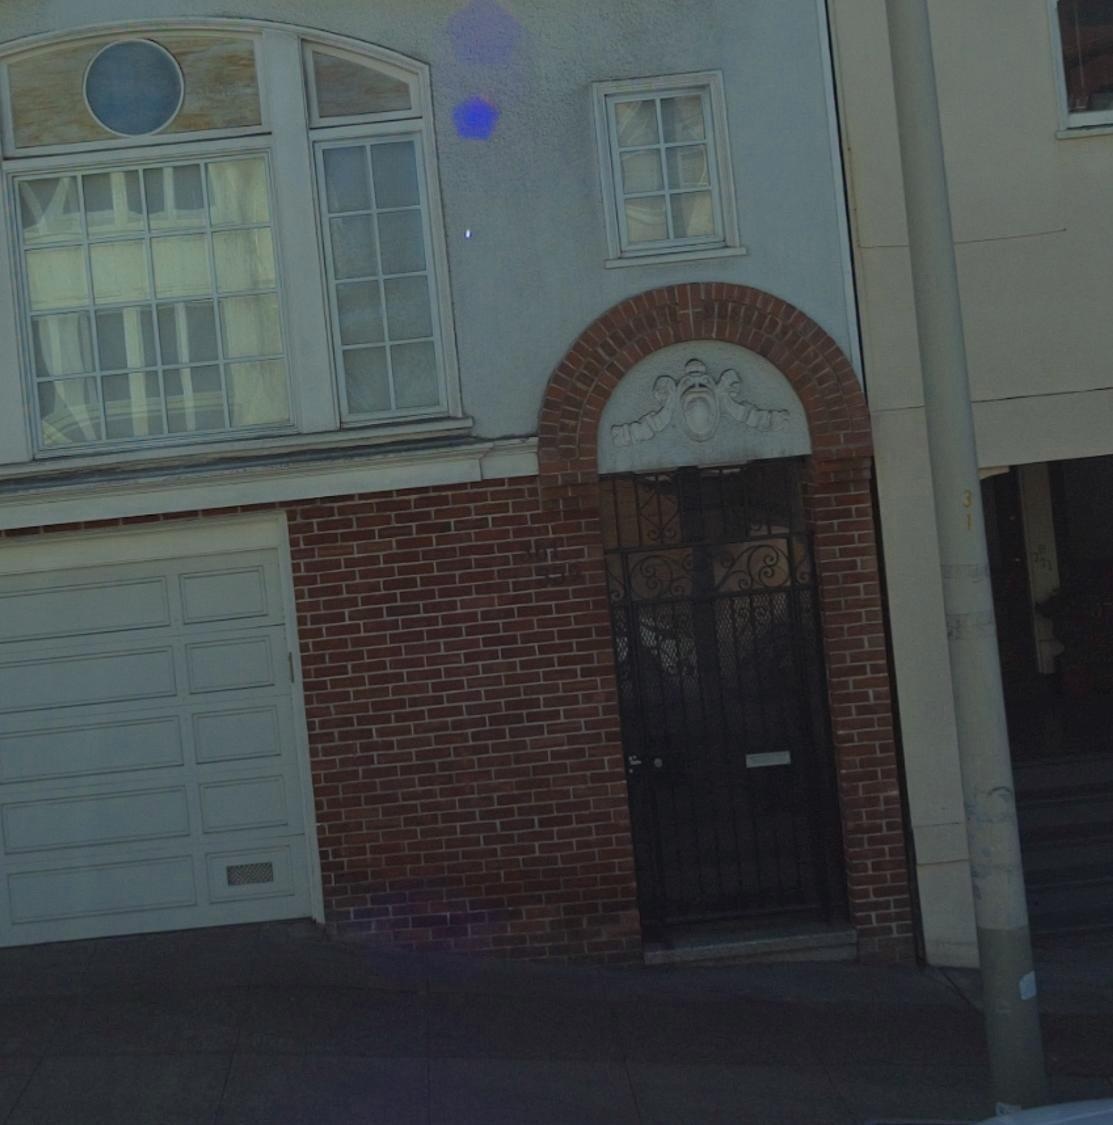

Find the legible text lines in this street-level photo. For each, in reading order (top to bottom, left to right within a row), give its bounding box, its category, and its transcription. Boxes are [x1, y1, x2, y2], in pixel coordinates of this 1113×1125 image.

[961, 488, 974, 531] None: 31
[517, 538, 561, 563] StreetNumber: 361
[1032, 550, 1054, 573] StreetNumber: 321
[534, 563, 585, 589] StreetNumber: 359